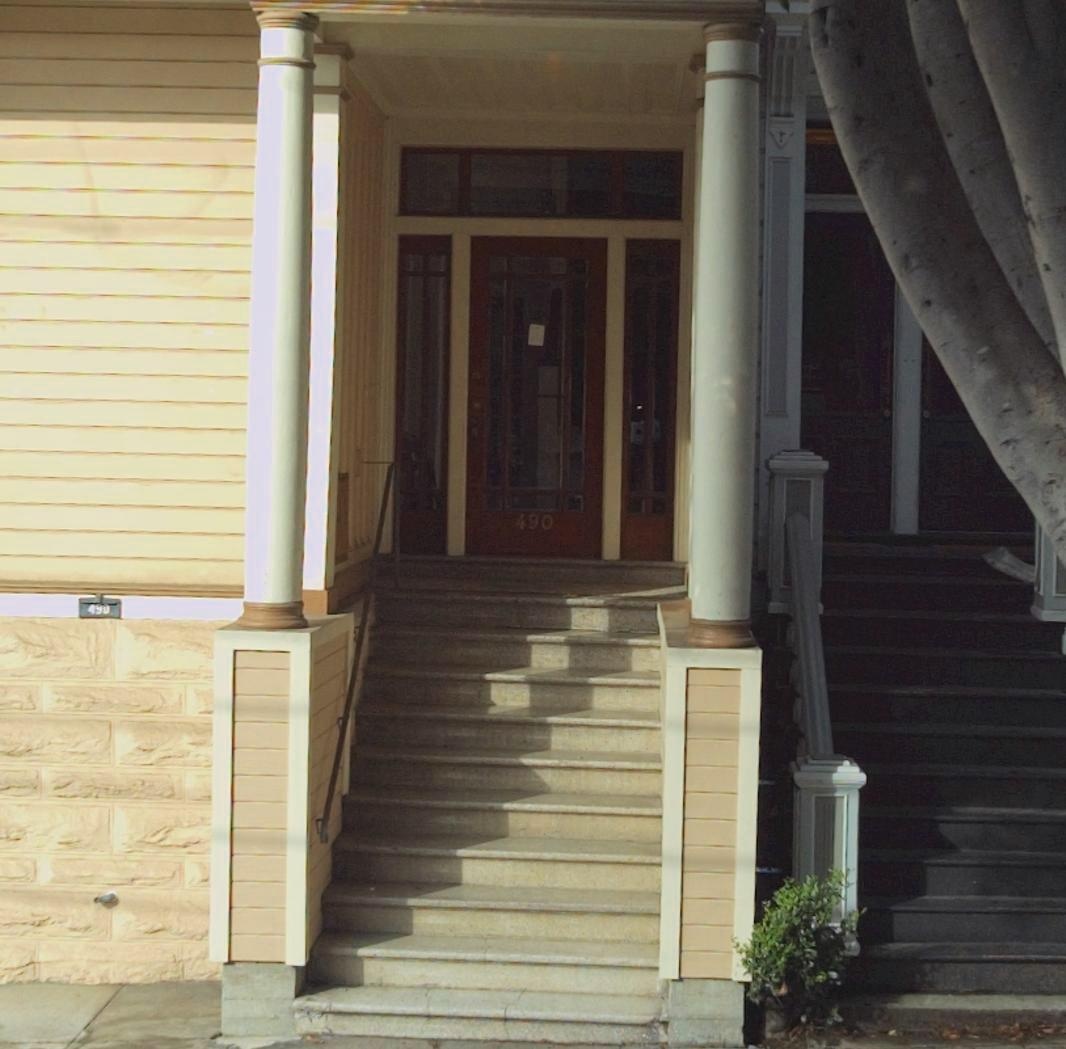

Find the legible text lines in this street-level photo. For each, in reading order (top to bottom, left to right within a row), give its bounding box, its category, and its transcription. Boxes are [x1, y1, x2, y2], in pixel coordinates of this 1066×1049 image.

[513, 513, 555, 531] StreetNumber: 490
[85, 602, 114, 616] StreetNumber: 490